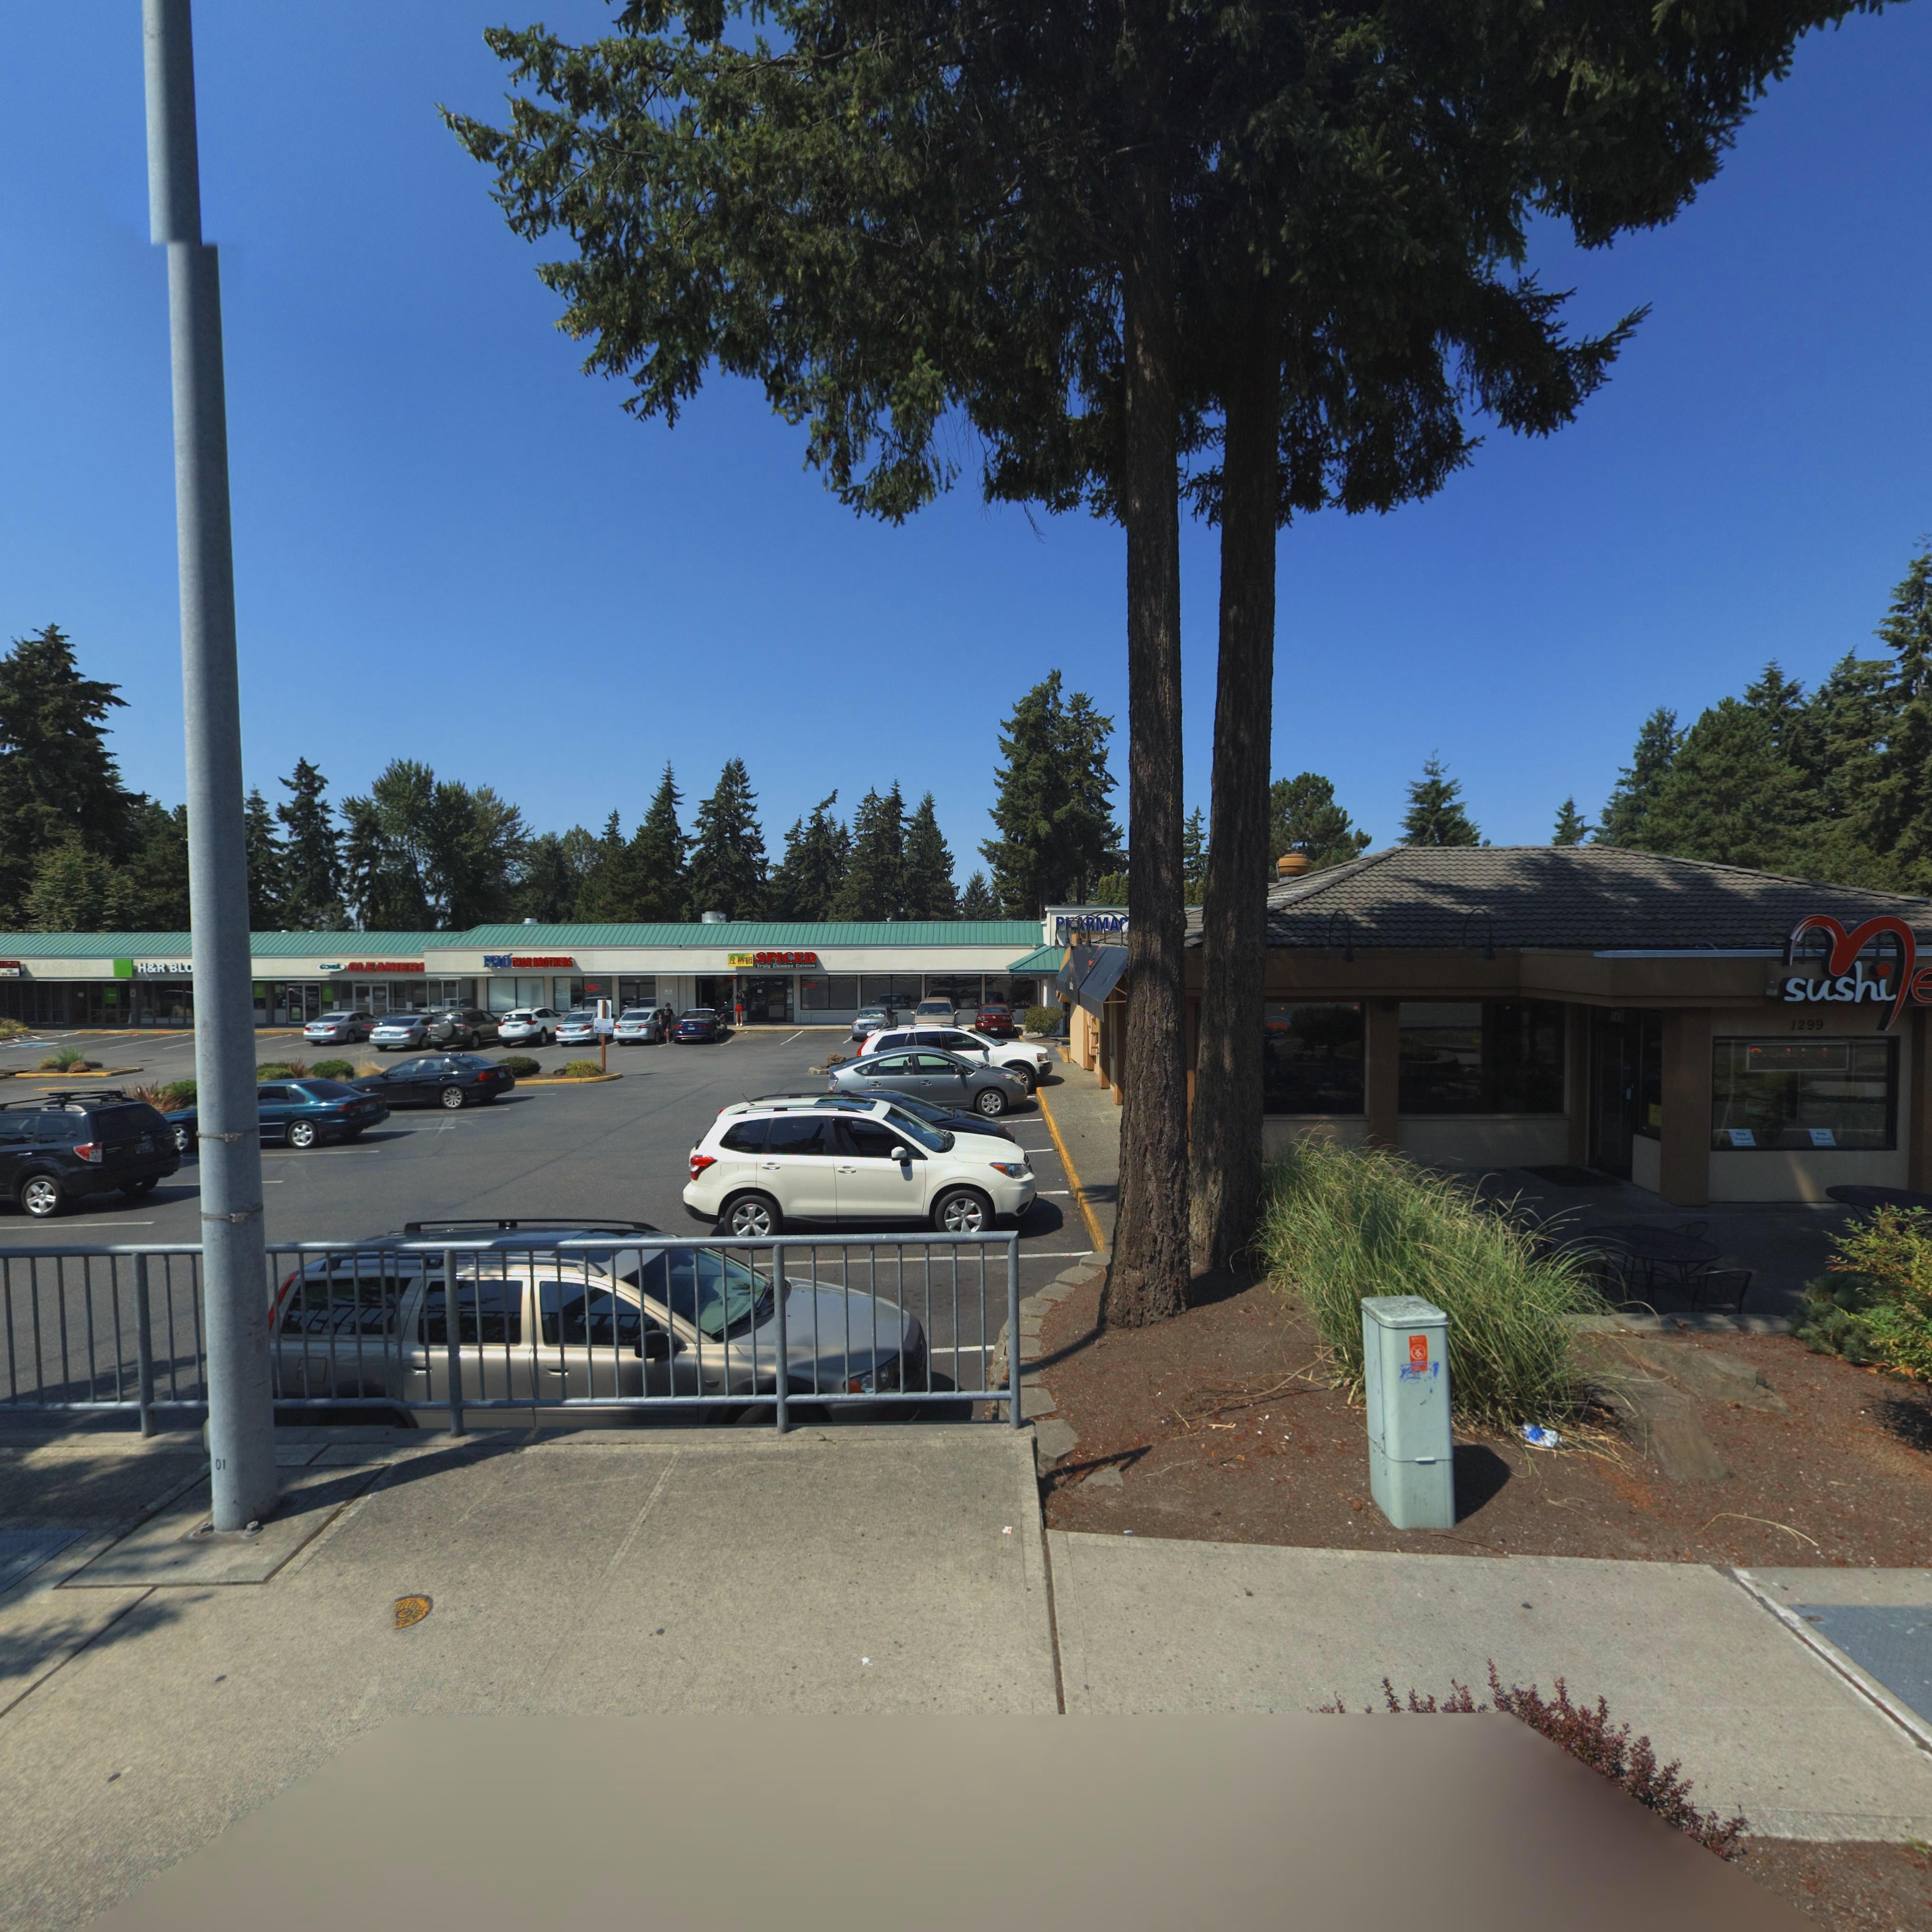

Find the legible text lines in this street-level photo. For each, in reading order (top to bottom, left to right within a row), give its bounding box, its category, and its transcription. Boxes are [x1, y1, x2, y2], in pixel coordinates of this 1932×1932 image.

[138, 962, 193, 972] BusinessName: H*R BLO
[348, 962, 424, 972] BusinessName: CLEAN*ER*
[483, 955, 573, 967] BusinessName: PH* T*** BROTHERS
[755, 952, 816, 963] BusinessName: SPICED
[1779, 943, 1932, 1004] BusinessName: sushi**
[1789, 1018, 1826, 1032] StreetNumber: 1299